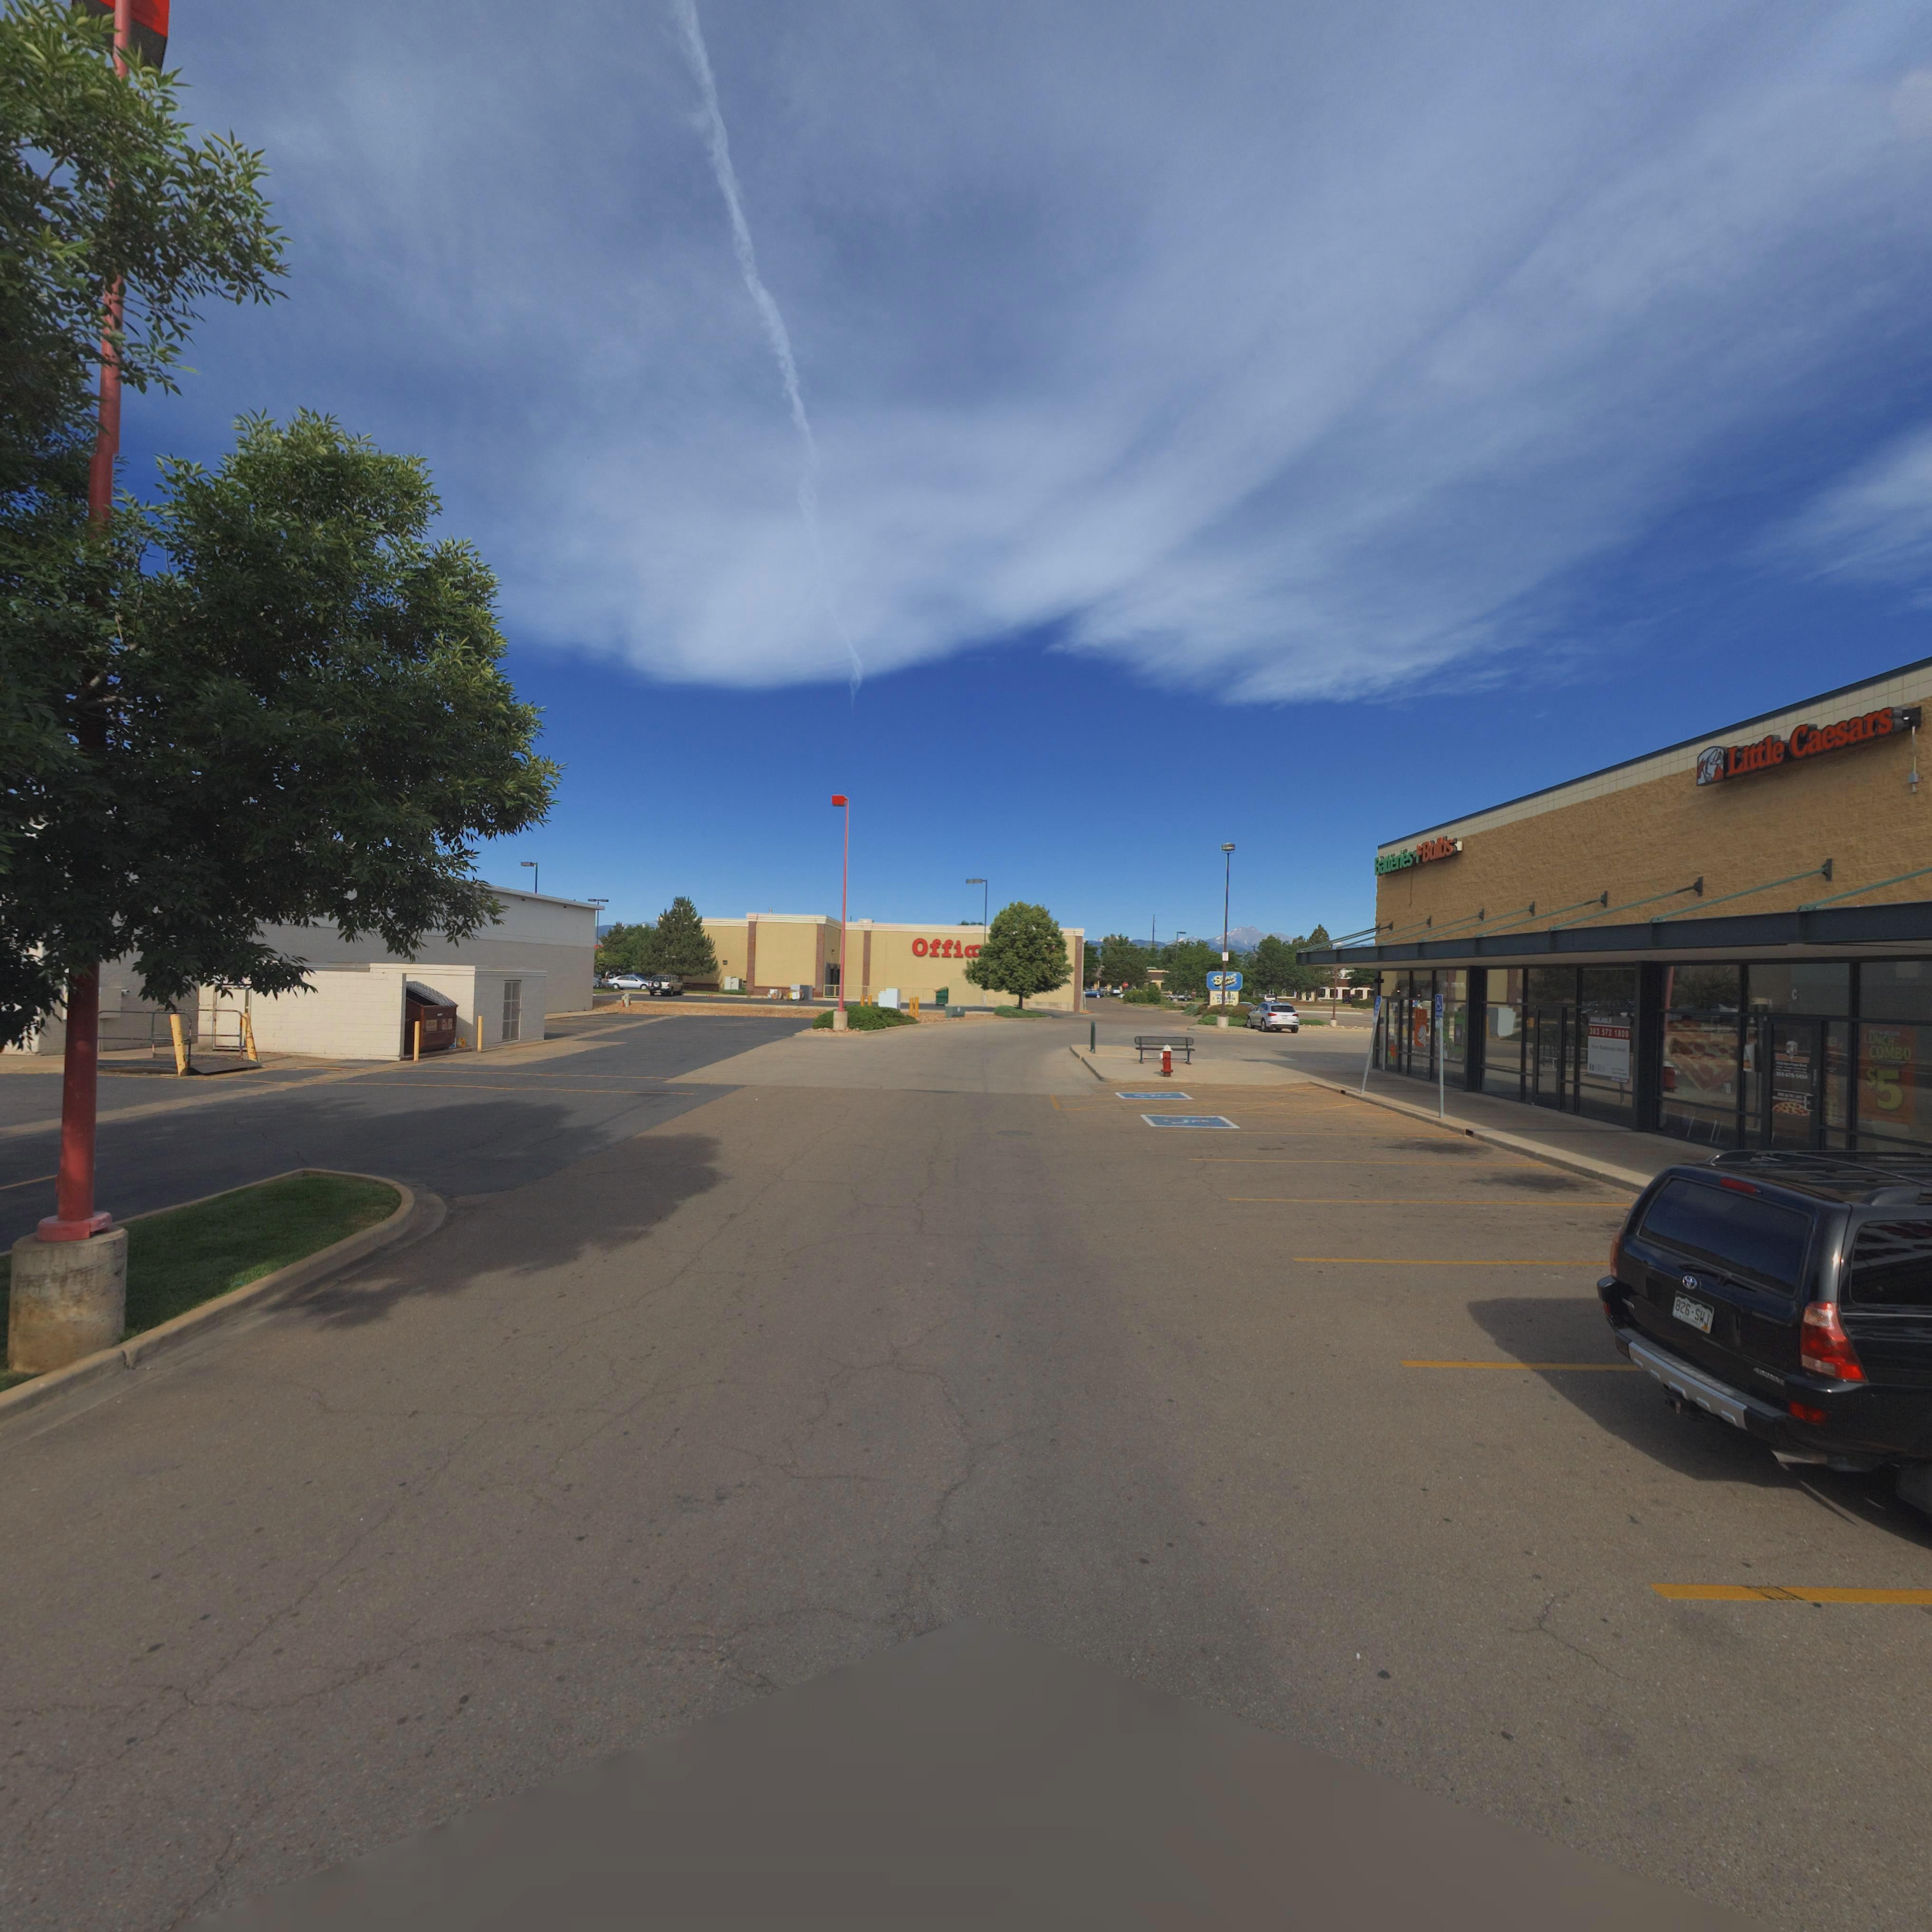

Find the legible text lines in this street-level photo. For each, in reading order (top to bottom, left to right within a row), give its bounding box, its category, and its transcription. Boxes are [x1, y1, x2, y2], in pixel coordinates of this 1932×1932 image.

[1726, 705, 1895, 777] None: Little Caesars
[1374, 836, 1453, 876] BusinessName: Batteries * Bulbs
[912, 937, 980, 957] BusinessName: Offi**
[1214, 975, 1234, 985] BusinessName: S****R